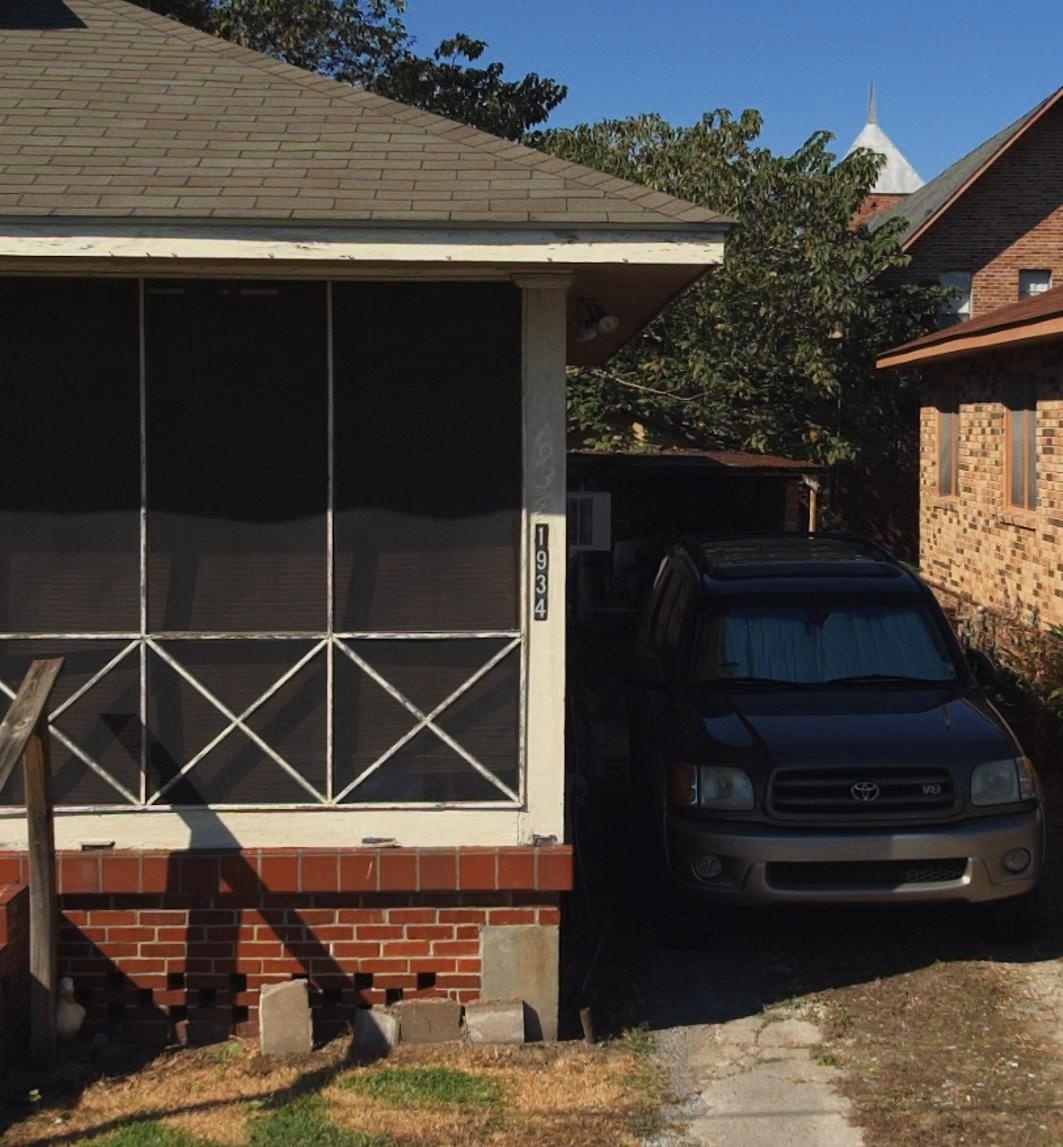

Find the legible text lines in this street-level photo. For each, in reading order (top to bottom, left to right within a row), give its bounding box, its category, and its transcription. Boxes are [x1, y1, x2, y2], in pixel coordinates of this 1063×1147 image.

[529, 415, 560, 521] StreetNumber: 1934
[533, 523, 549, 621] StreetNumber: 1934
[919, 782, 944, 797] None: v8